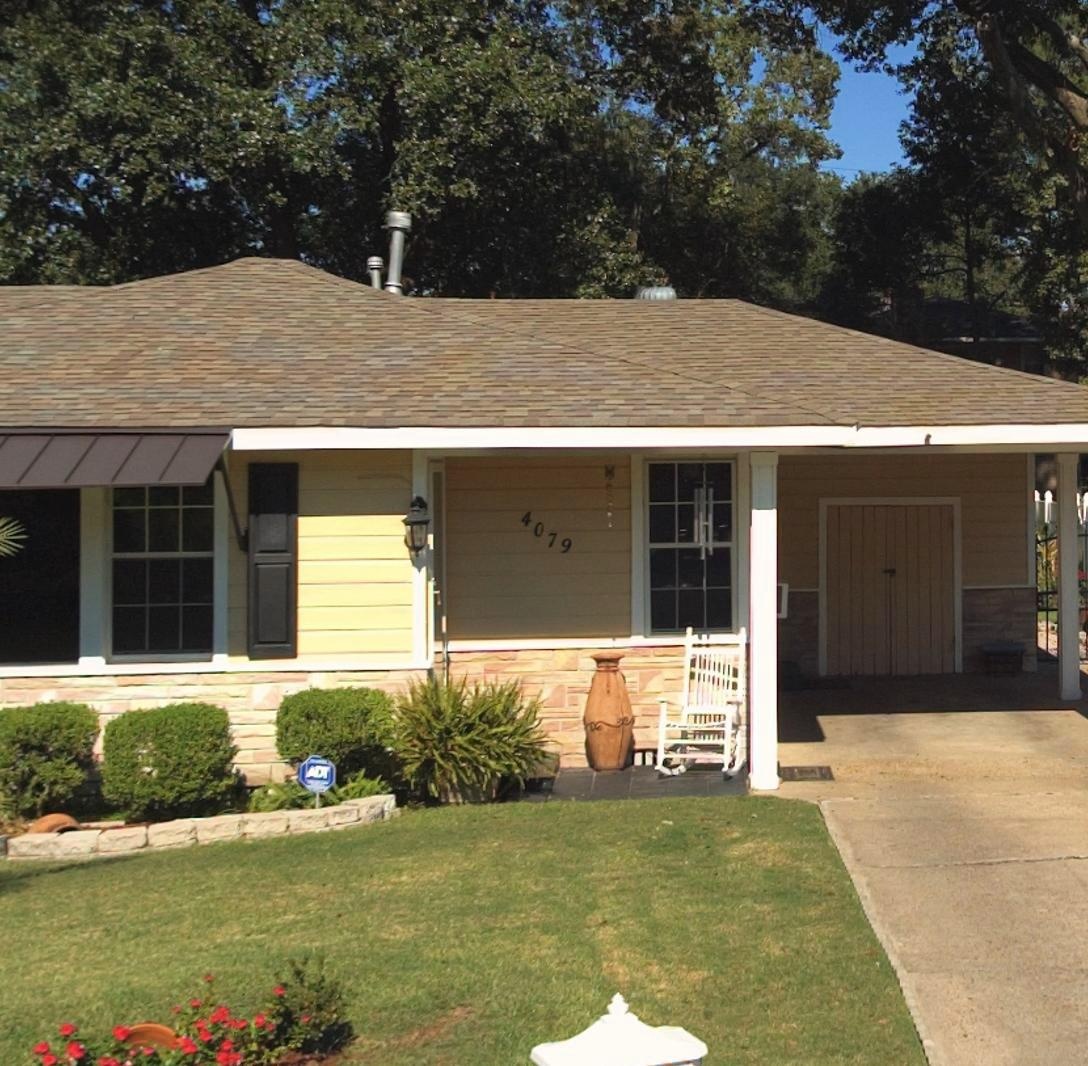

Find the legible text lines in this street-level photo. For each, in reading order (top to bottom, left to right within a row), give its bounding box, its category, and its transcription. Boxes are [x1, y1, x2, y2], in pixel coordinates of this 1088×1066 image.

[517, 510, 574, 558] StreetNumber: 4079
[302, 764, 333, 781] None: ADT